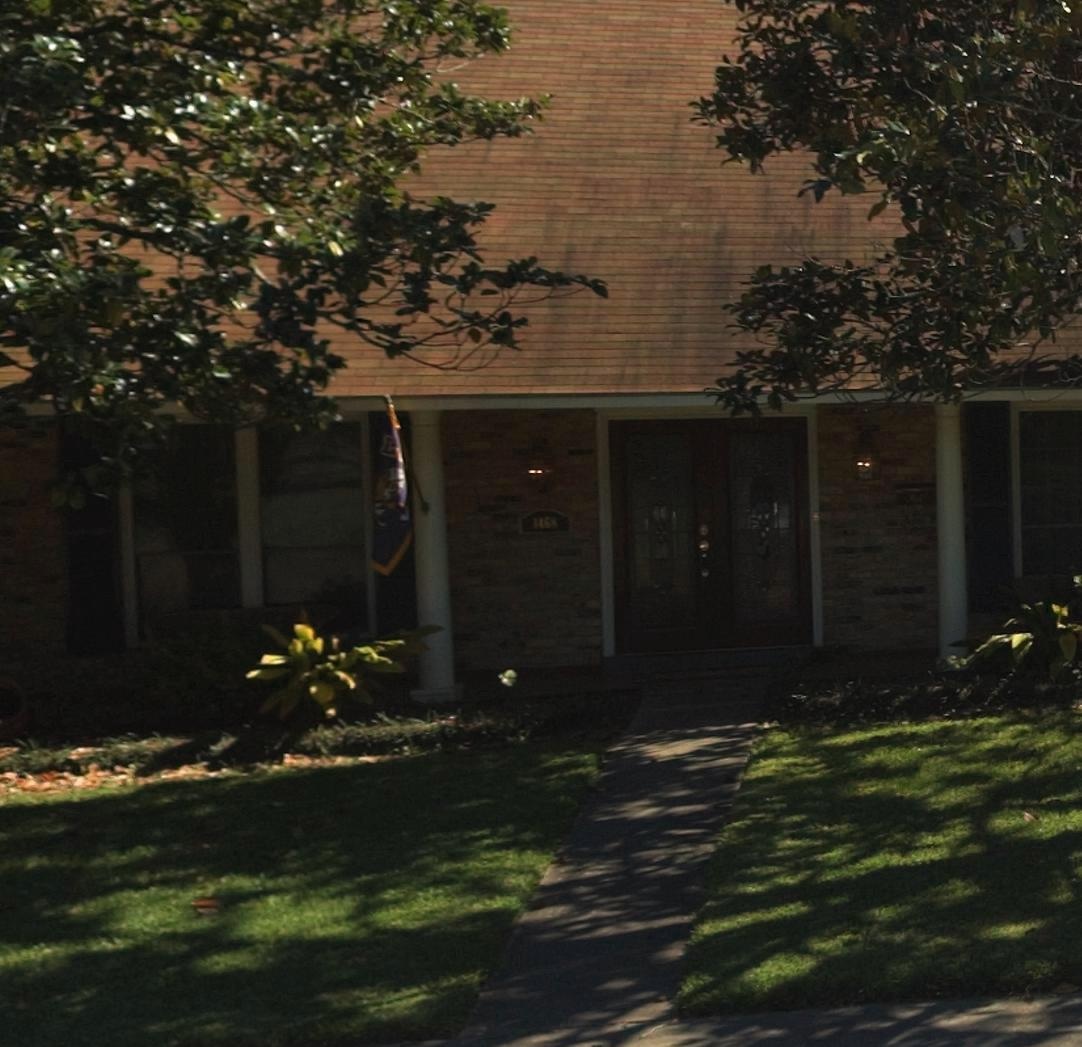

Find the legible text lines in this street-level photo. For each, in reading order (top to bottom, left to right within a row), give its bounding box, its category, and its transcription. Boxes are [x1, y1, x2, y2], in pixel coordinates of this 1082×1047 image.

[531, 516, 559, 530] StreetNumber: 14*8